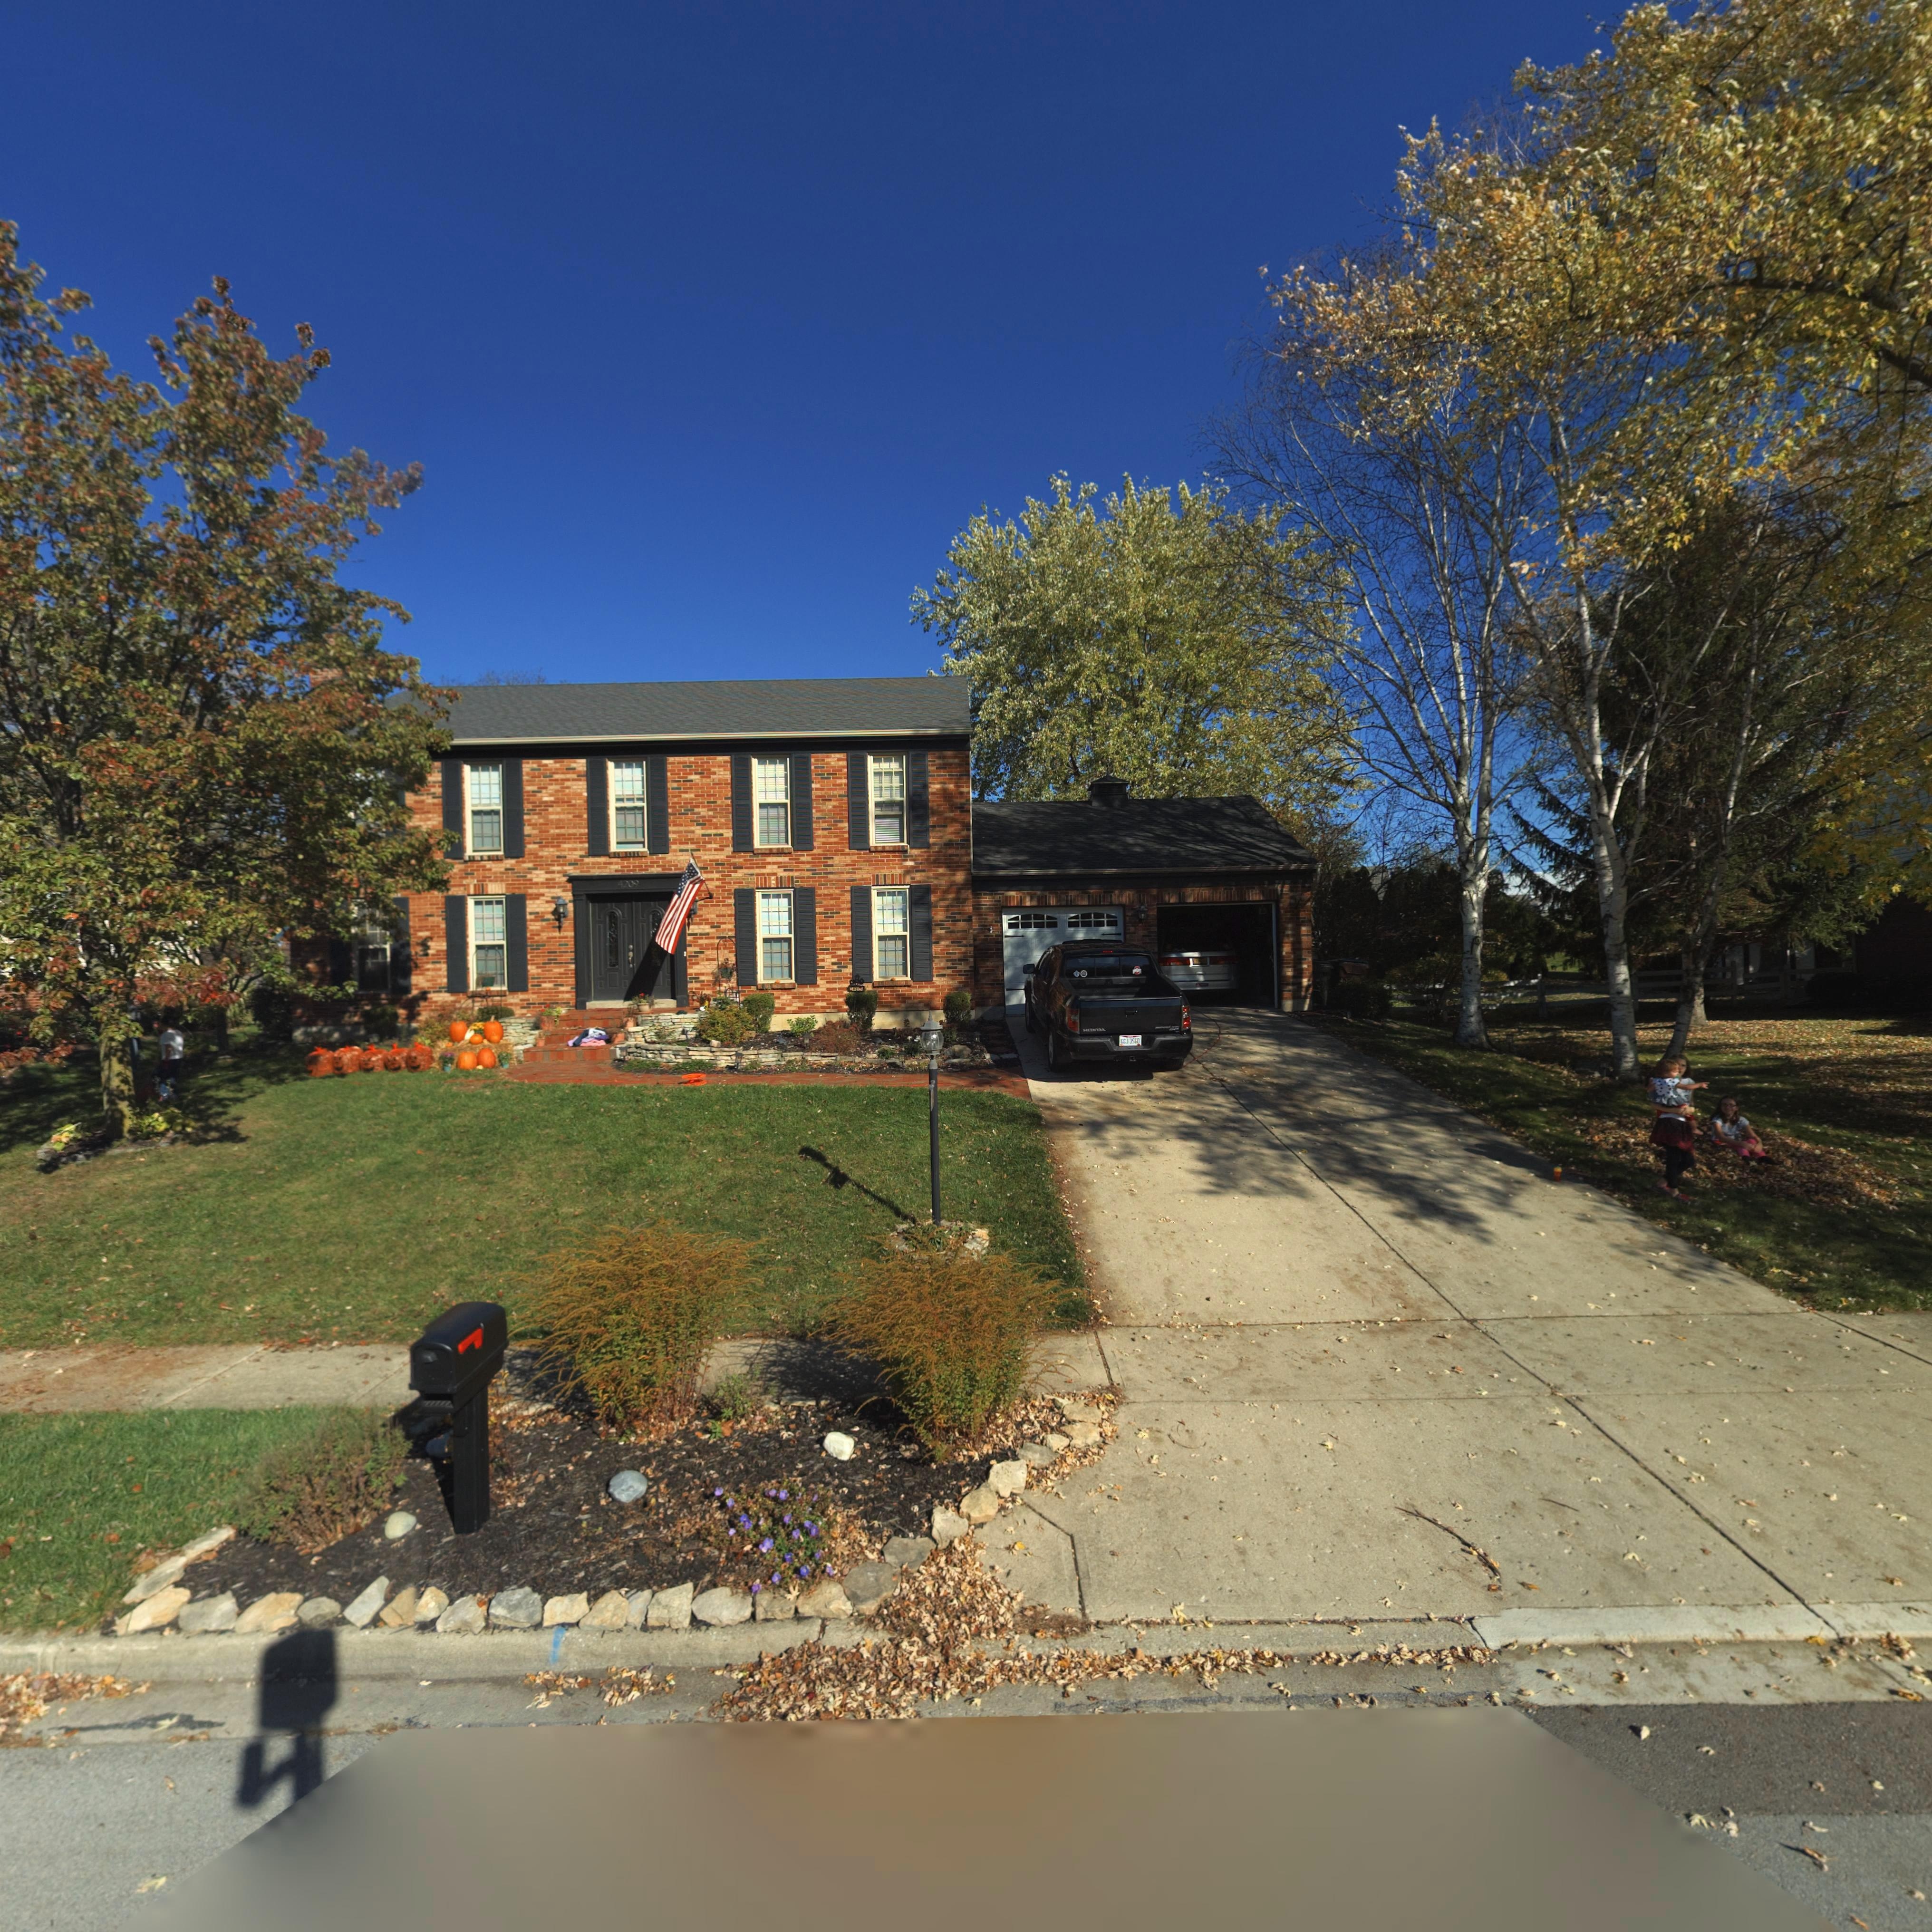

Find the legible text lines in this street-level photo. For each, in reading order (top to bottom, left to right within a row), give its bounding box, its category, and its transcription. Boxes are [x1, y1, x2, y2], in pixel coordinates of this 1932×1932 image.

[617, 879, 640, 889] StreetNumber: 4209